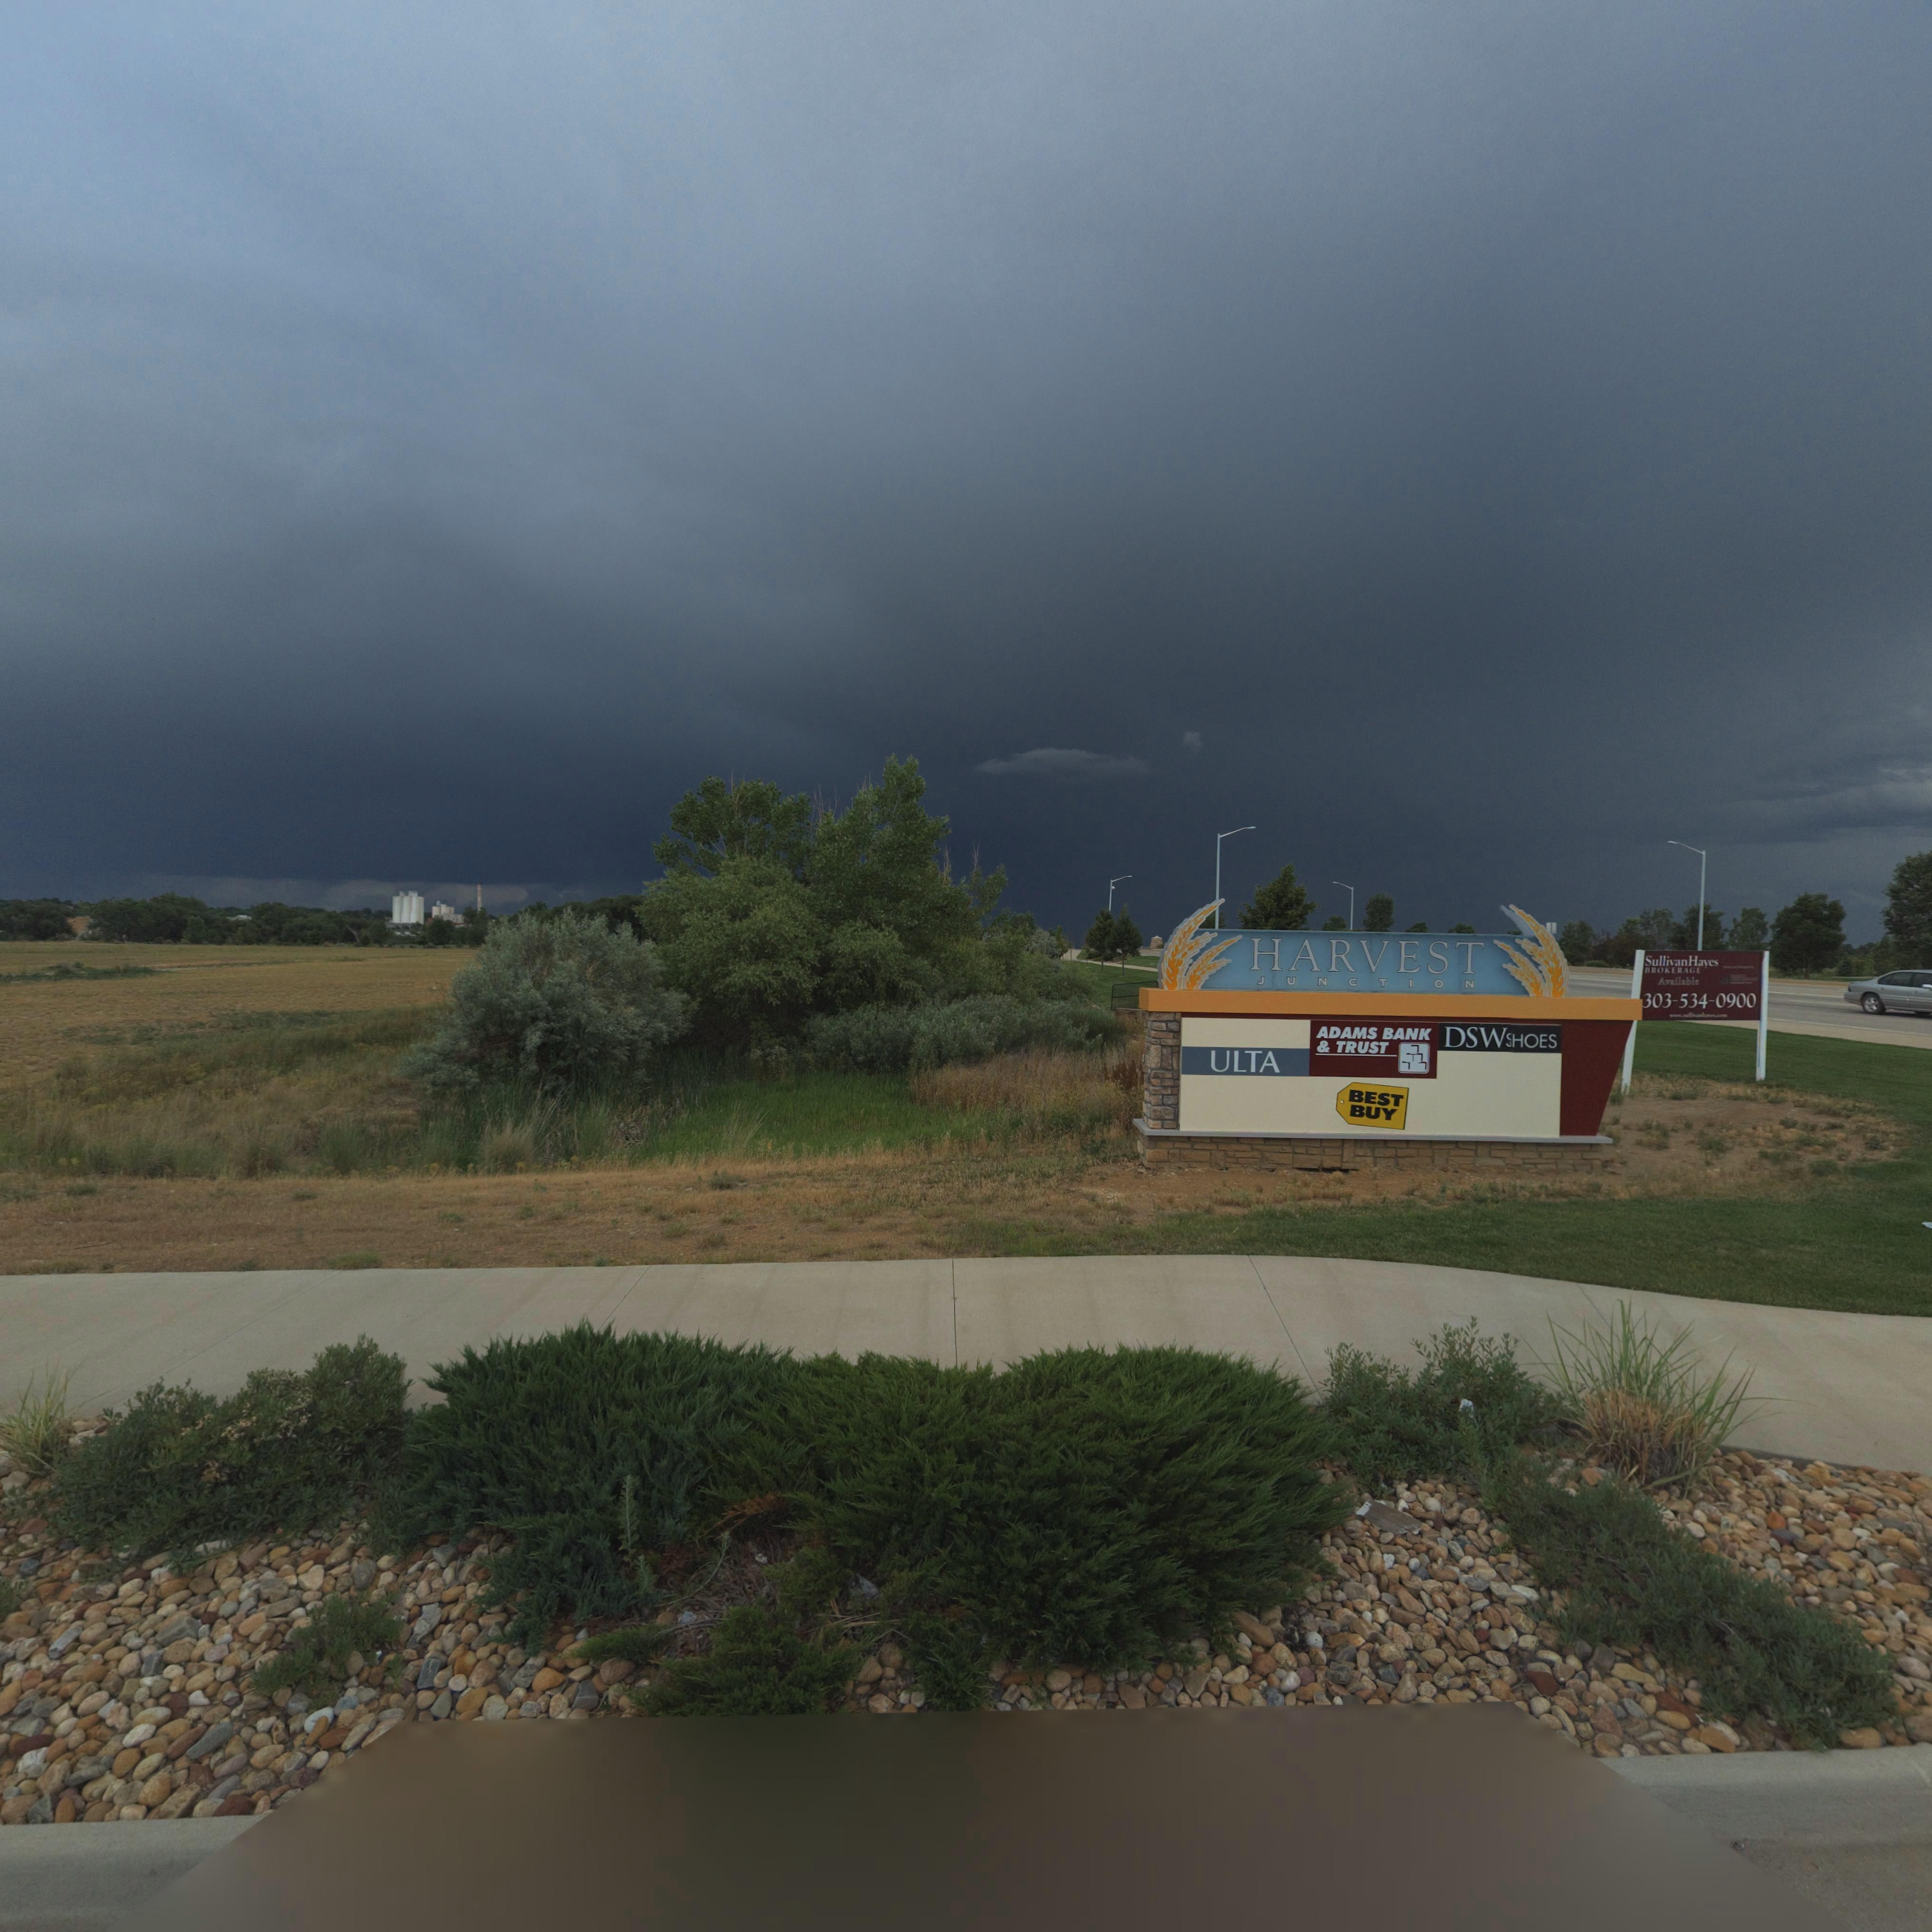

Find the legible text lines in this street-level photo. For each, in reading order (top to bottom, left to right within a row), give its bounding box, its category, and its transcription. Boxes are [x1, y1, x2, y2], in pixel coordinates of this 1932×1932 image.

[1315, 1026, 1432, 1040] BusinessName: ADAMS BANK
[1444, 1026, 1557, 1048] BusinessName: DSW*HOES
[1316, 1040, 1389, 1053] BusinessName: & TRUST
[1210, 1050, 1280, 1073] BusinessName: ULTA
[1348, 1089, 1403, 1107] BusinessName: BEST
[1350, 1104, 1398, 1121] BusinessName: BUY